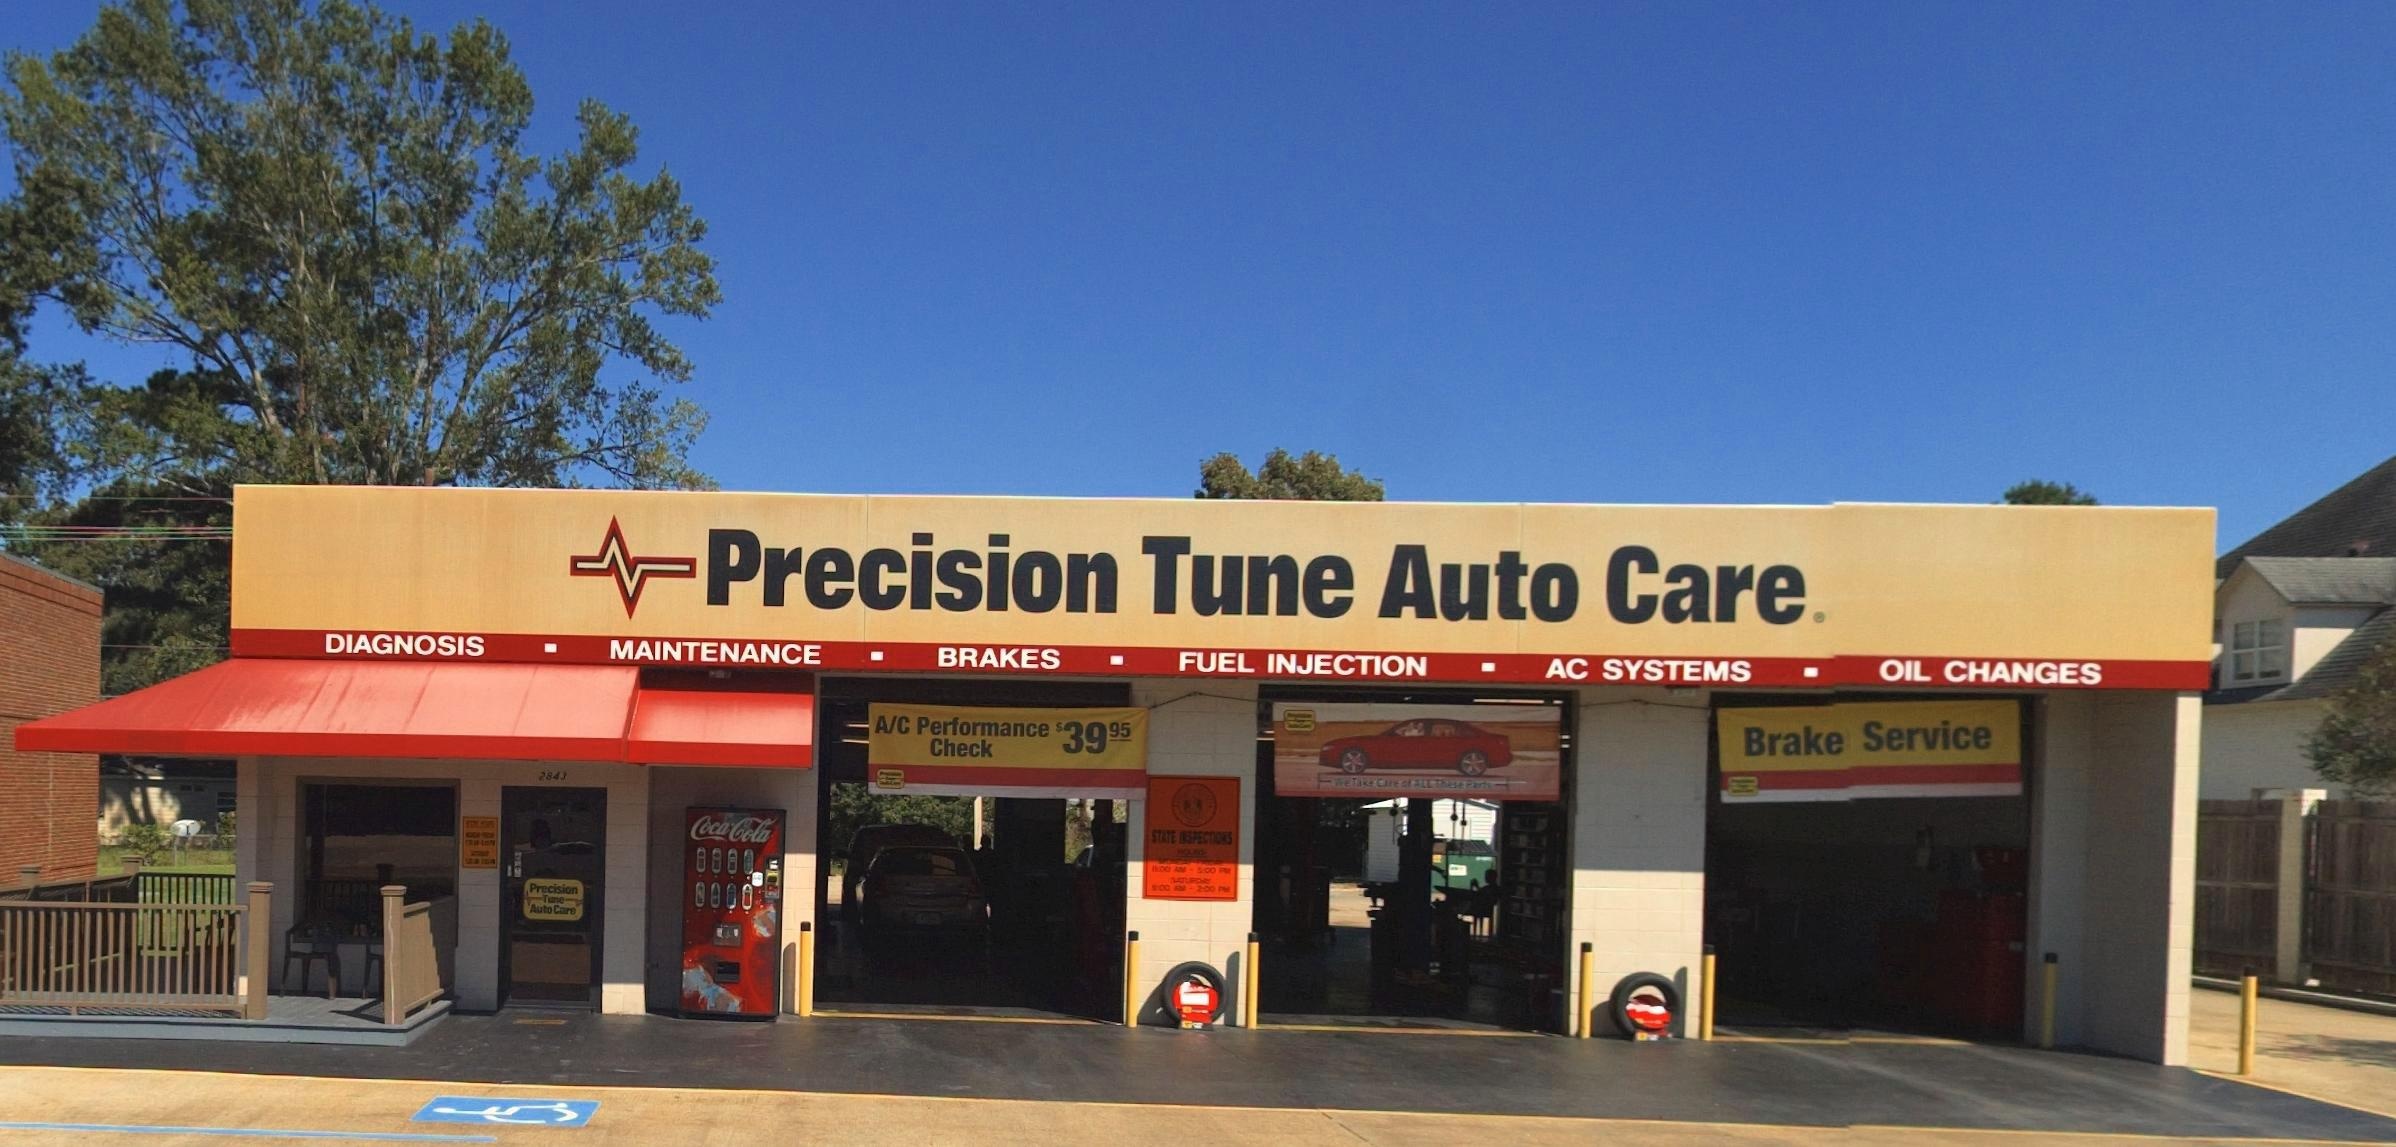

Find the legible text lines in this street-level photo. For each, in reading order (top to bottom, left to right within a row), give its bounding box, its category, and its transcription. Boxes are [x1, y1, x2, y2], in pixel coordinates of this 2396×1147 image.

[700, 521, 1813, 631] BusinessName: Percision Tune Auto Care 
[319, 621, 2108, 687] None: DIAGNOSIS * MAINTENANCE * BRAKES * FUEL INJECTION * AC SYSTEMS * OIL CHANGES
[870, 711, 1053, 740] None: A/C Performance
[927, 735, 997, 760] None: Check
[1061, 719, 1110, 759] None: 39
[1108, 719, 1134, 740] None: 95
[1739, 715, 1997, 763] None: Brak* Service
[533, 768, 571, 784] StreetNumber: 2843
[1330, 773, 1496, 793] None: We Take Care of ALL These Parts
[686, 809, 781, 846] None: Coca Cola
[1149, 825, 1235, 849] None: STATE **SPECTIONS
[1156, 862, 1174, 876] None: 00
[1202, 865, 1218, 876] None: 00
[526, 901, 579, 918] BusinessName: Auto Care
[540, 892, 566, 906] BusinessName: T**e
[527, 880, 581, 896] BusinessName: Precision
[1156, 881, 1173, 895] None: 00
[1194, 883, 1217, 895] None: 2:00